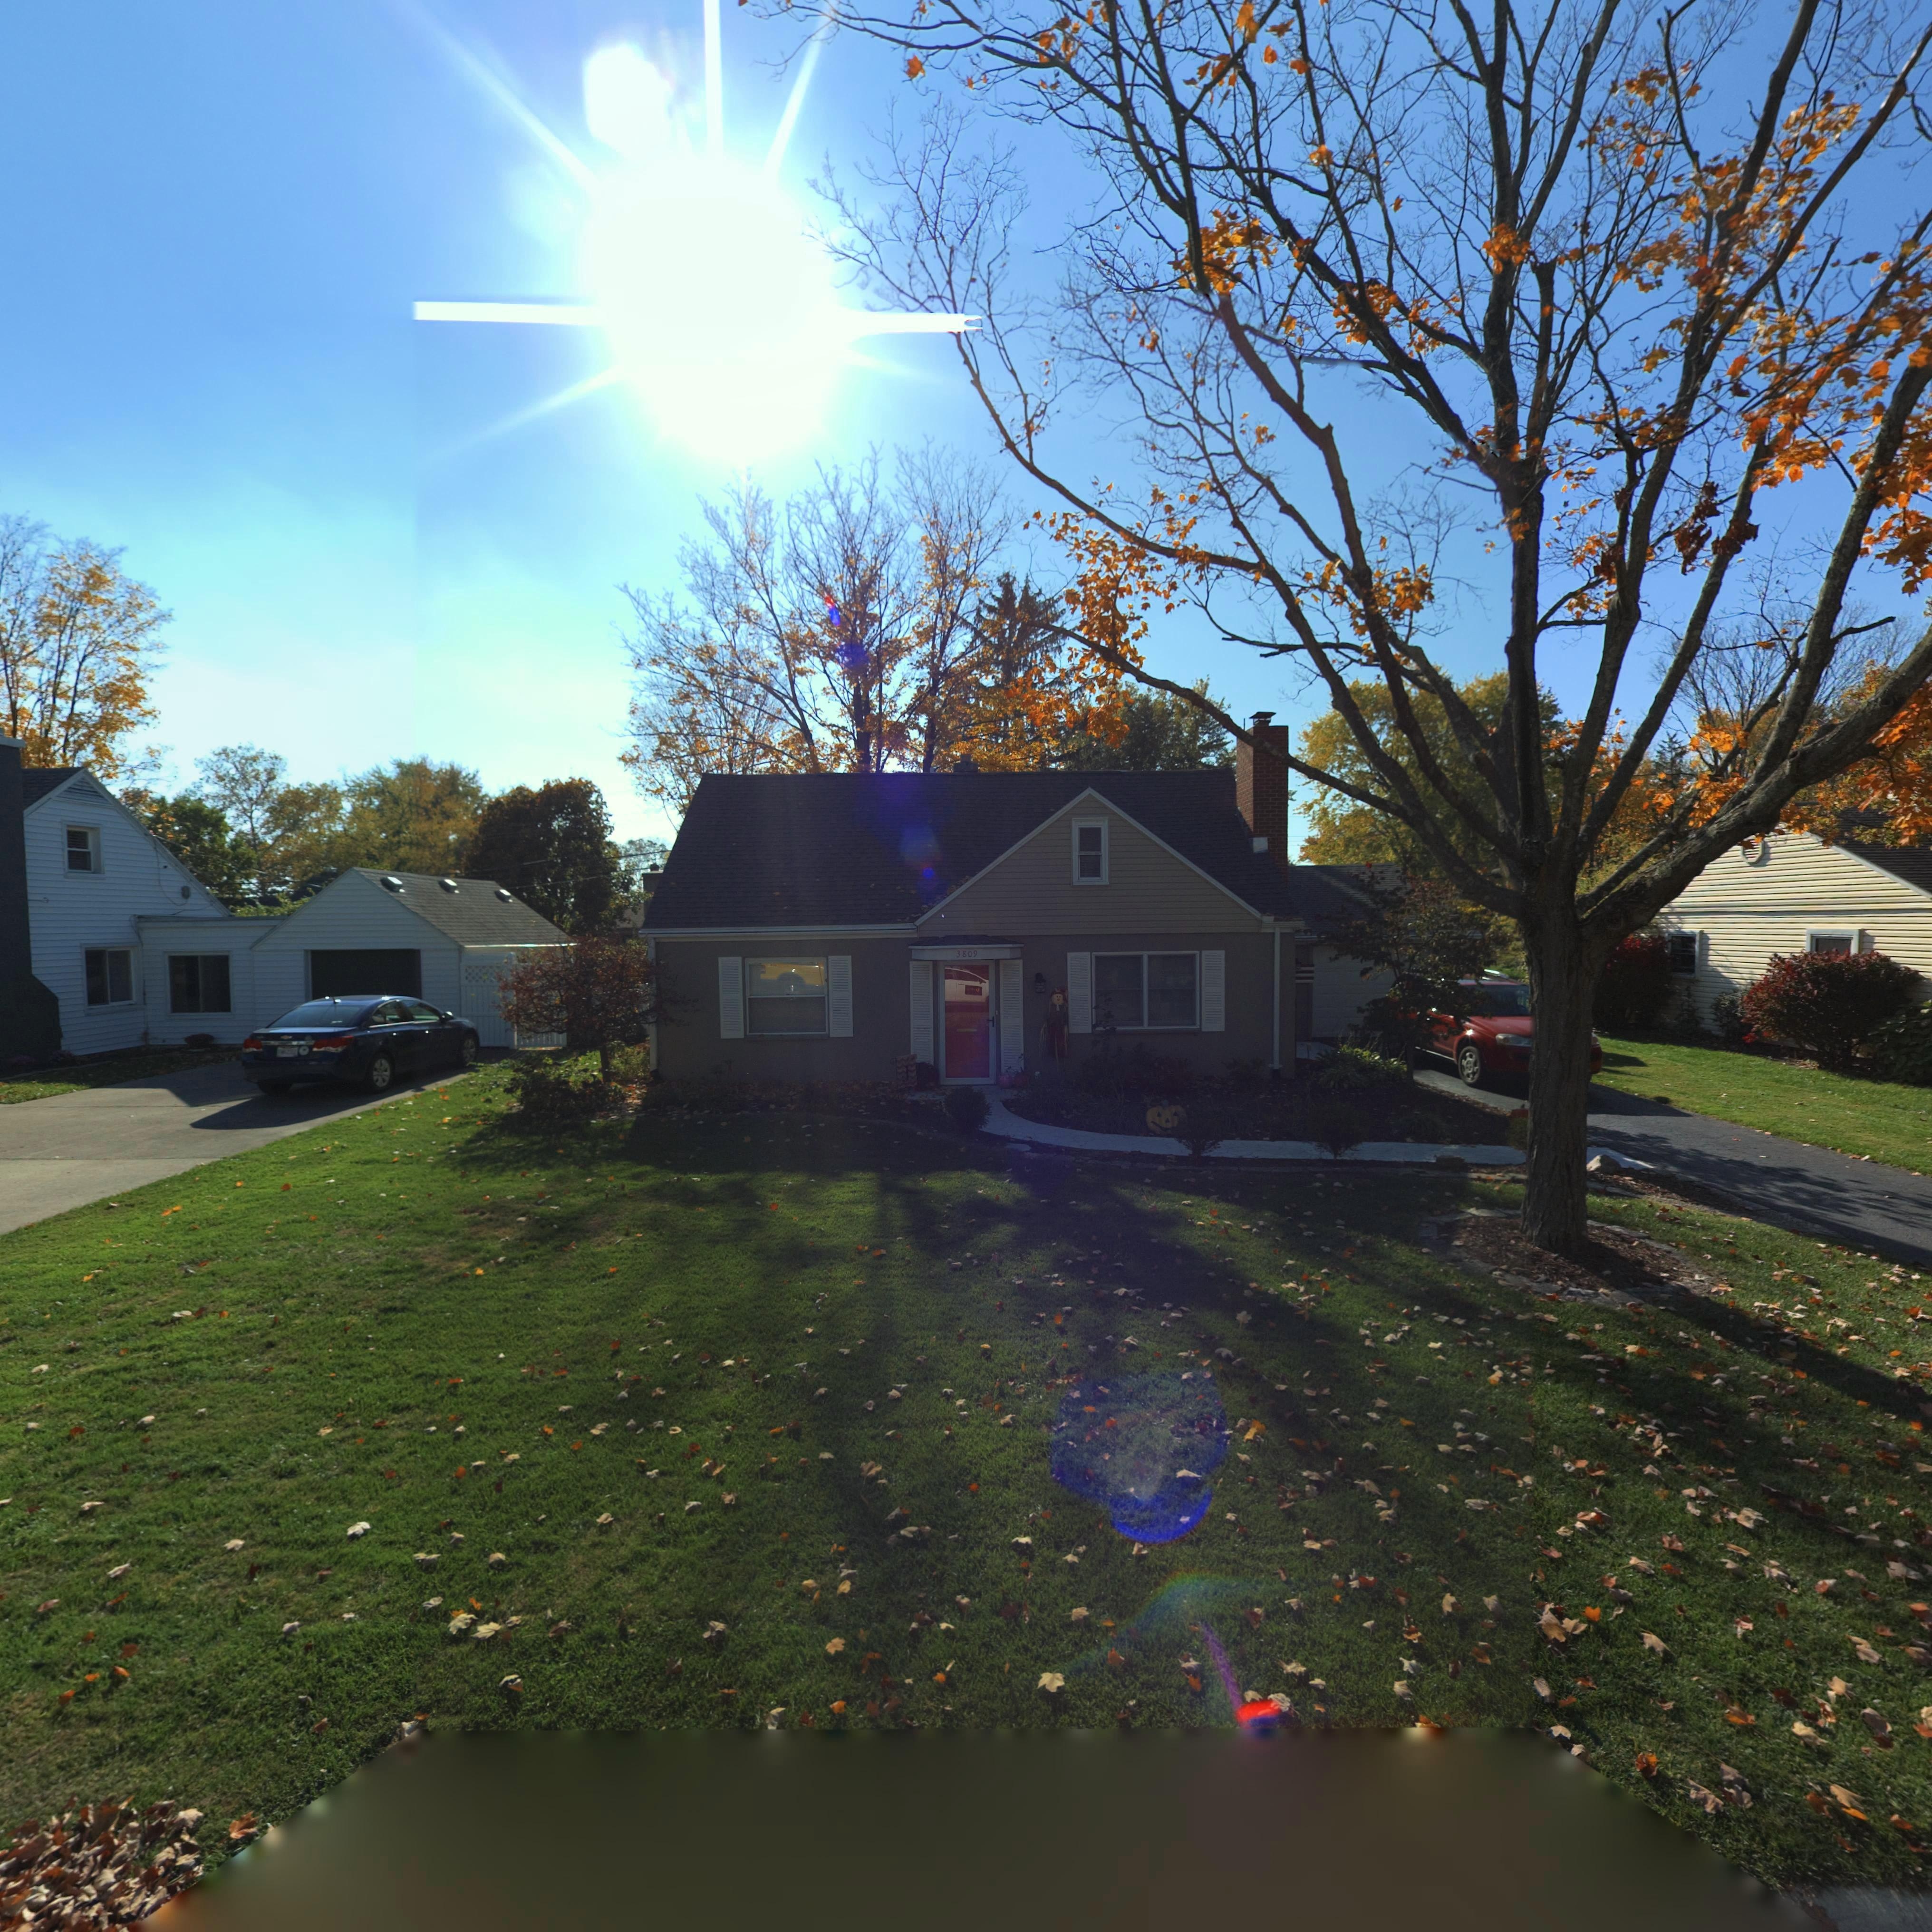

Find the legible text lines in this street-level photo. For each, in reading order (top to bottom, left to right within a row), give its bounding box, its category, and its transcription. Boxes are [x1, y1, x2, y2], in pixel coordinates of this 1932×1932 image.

[956, 949, 979, 958] StreetNumber: 3809